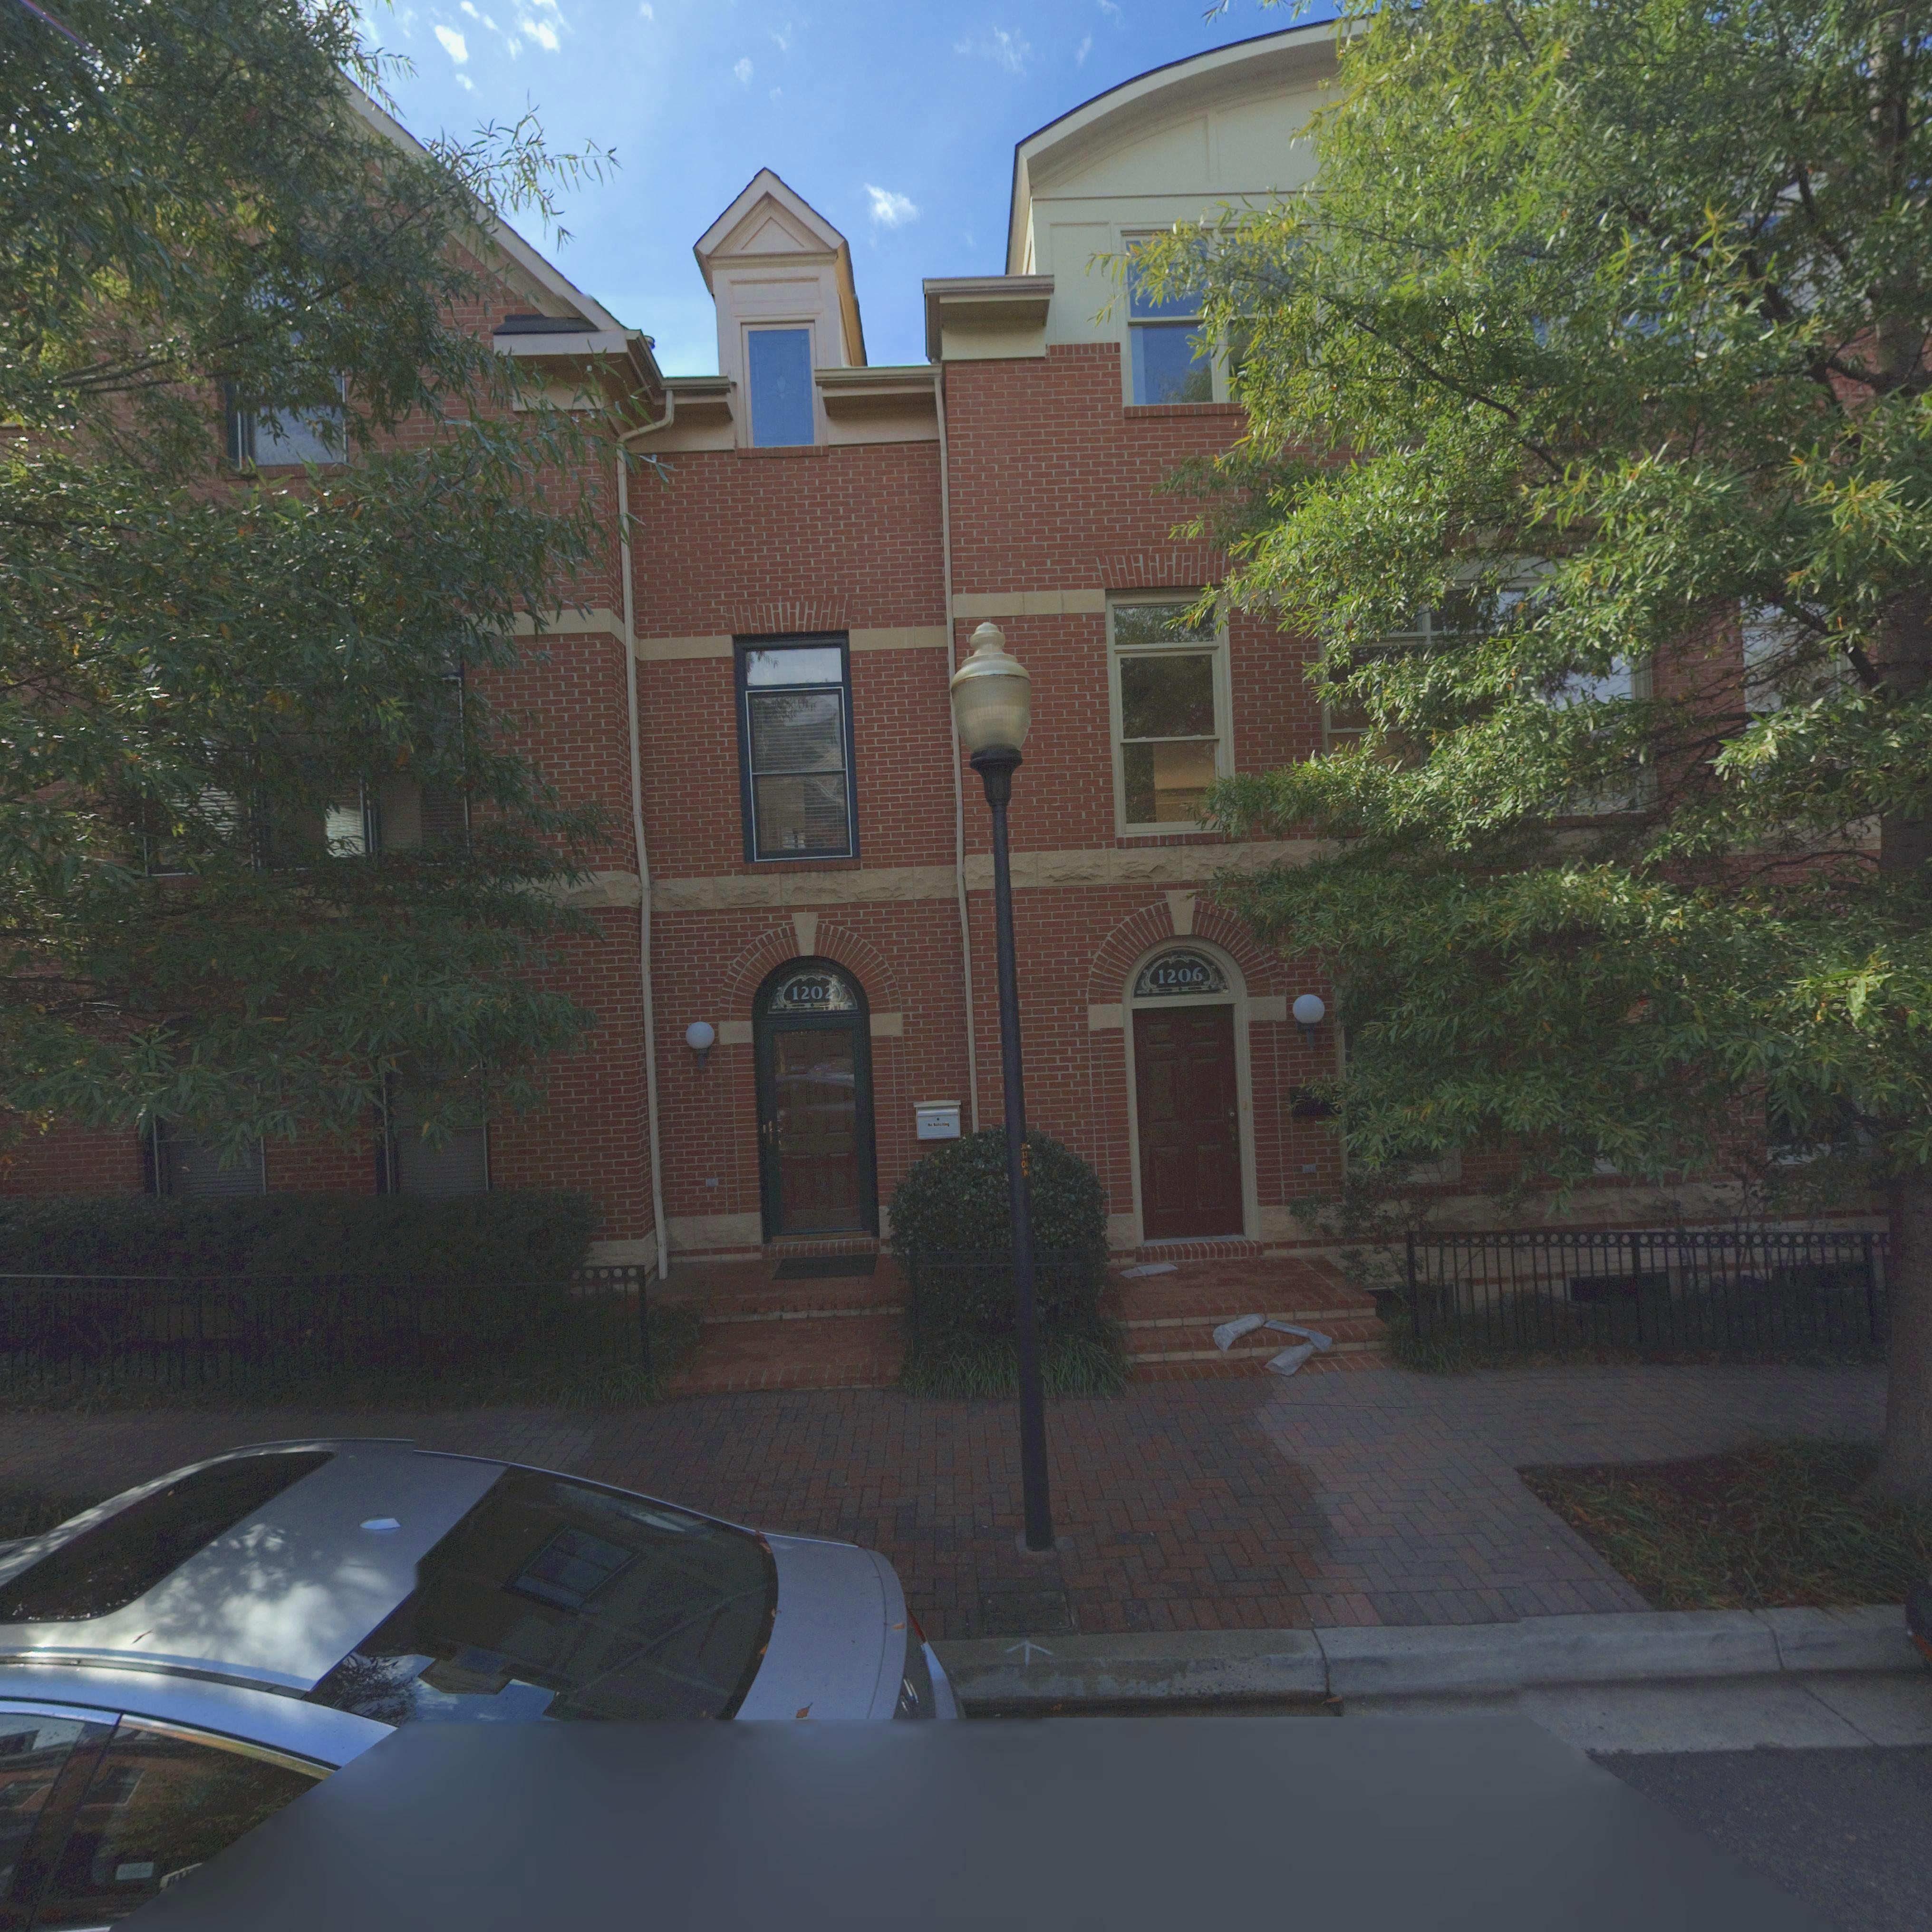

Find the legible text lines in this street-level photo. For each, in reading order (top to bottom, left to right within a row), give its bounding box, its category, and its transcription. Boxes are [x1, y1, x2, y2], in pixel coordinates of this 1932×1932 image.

[1157, 965, 1206, 985] None: 1206
[791, 983, 835, 1002] None: 120*
[1019, 1142, 1025, 1151] None: J
[1021, 1150, 1026, 1159] None: 13
[1020, 1159, 1027, 1169] None: 0